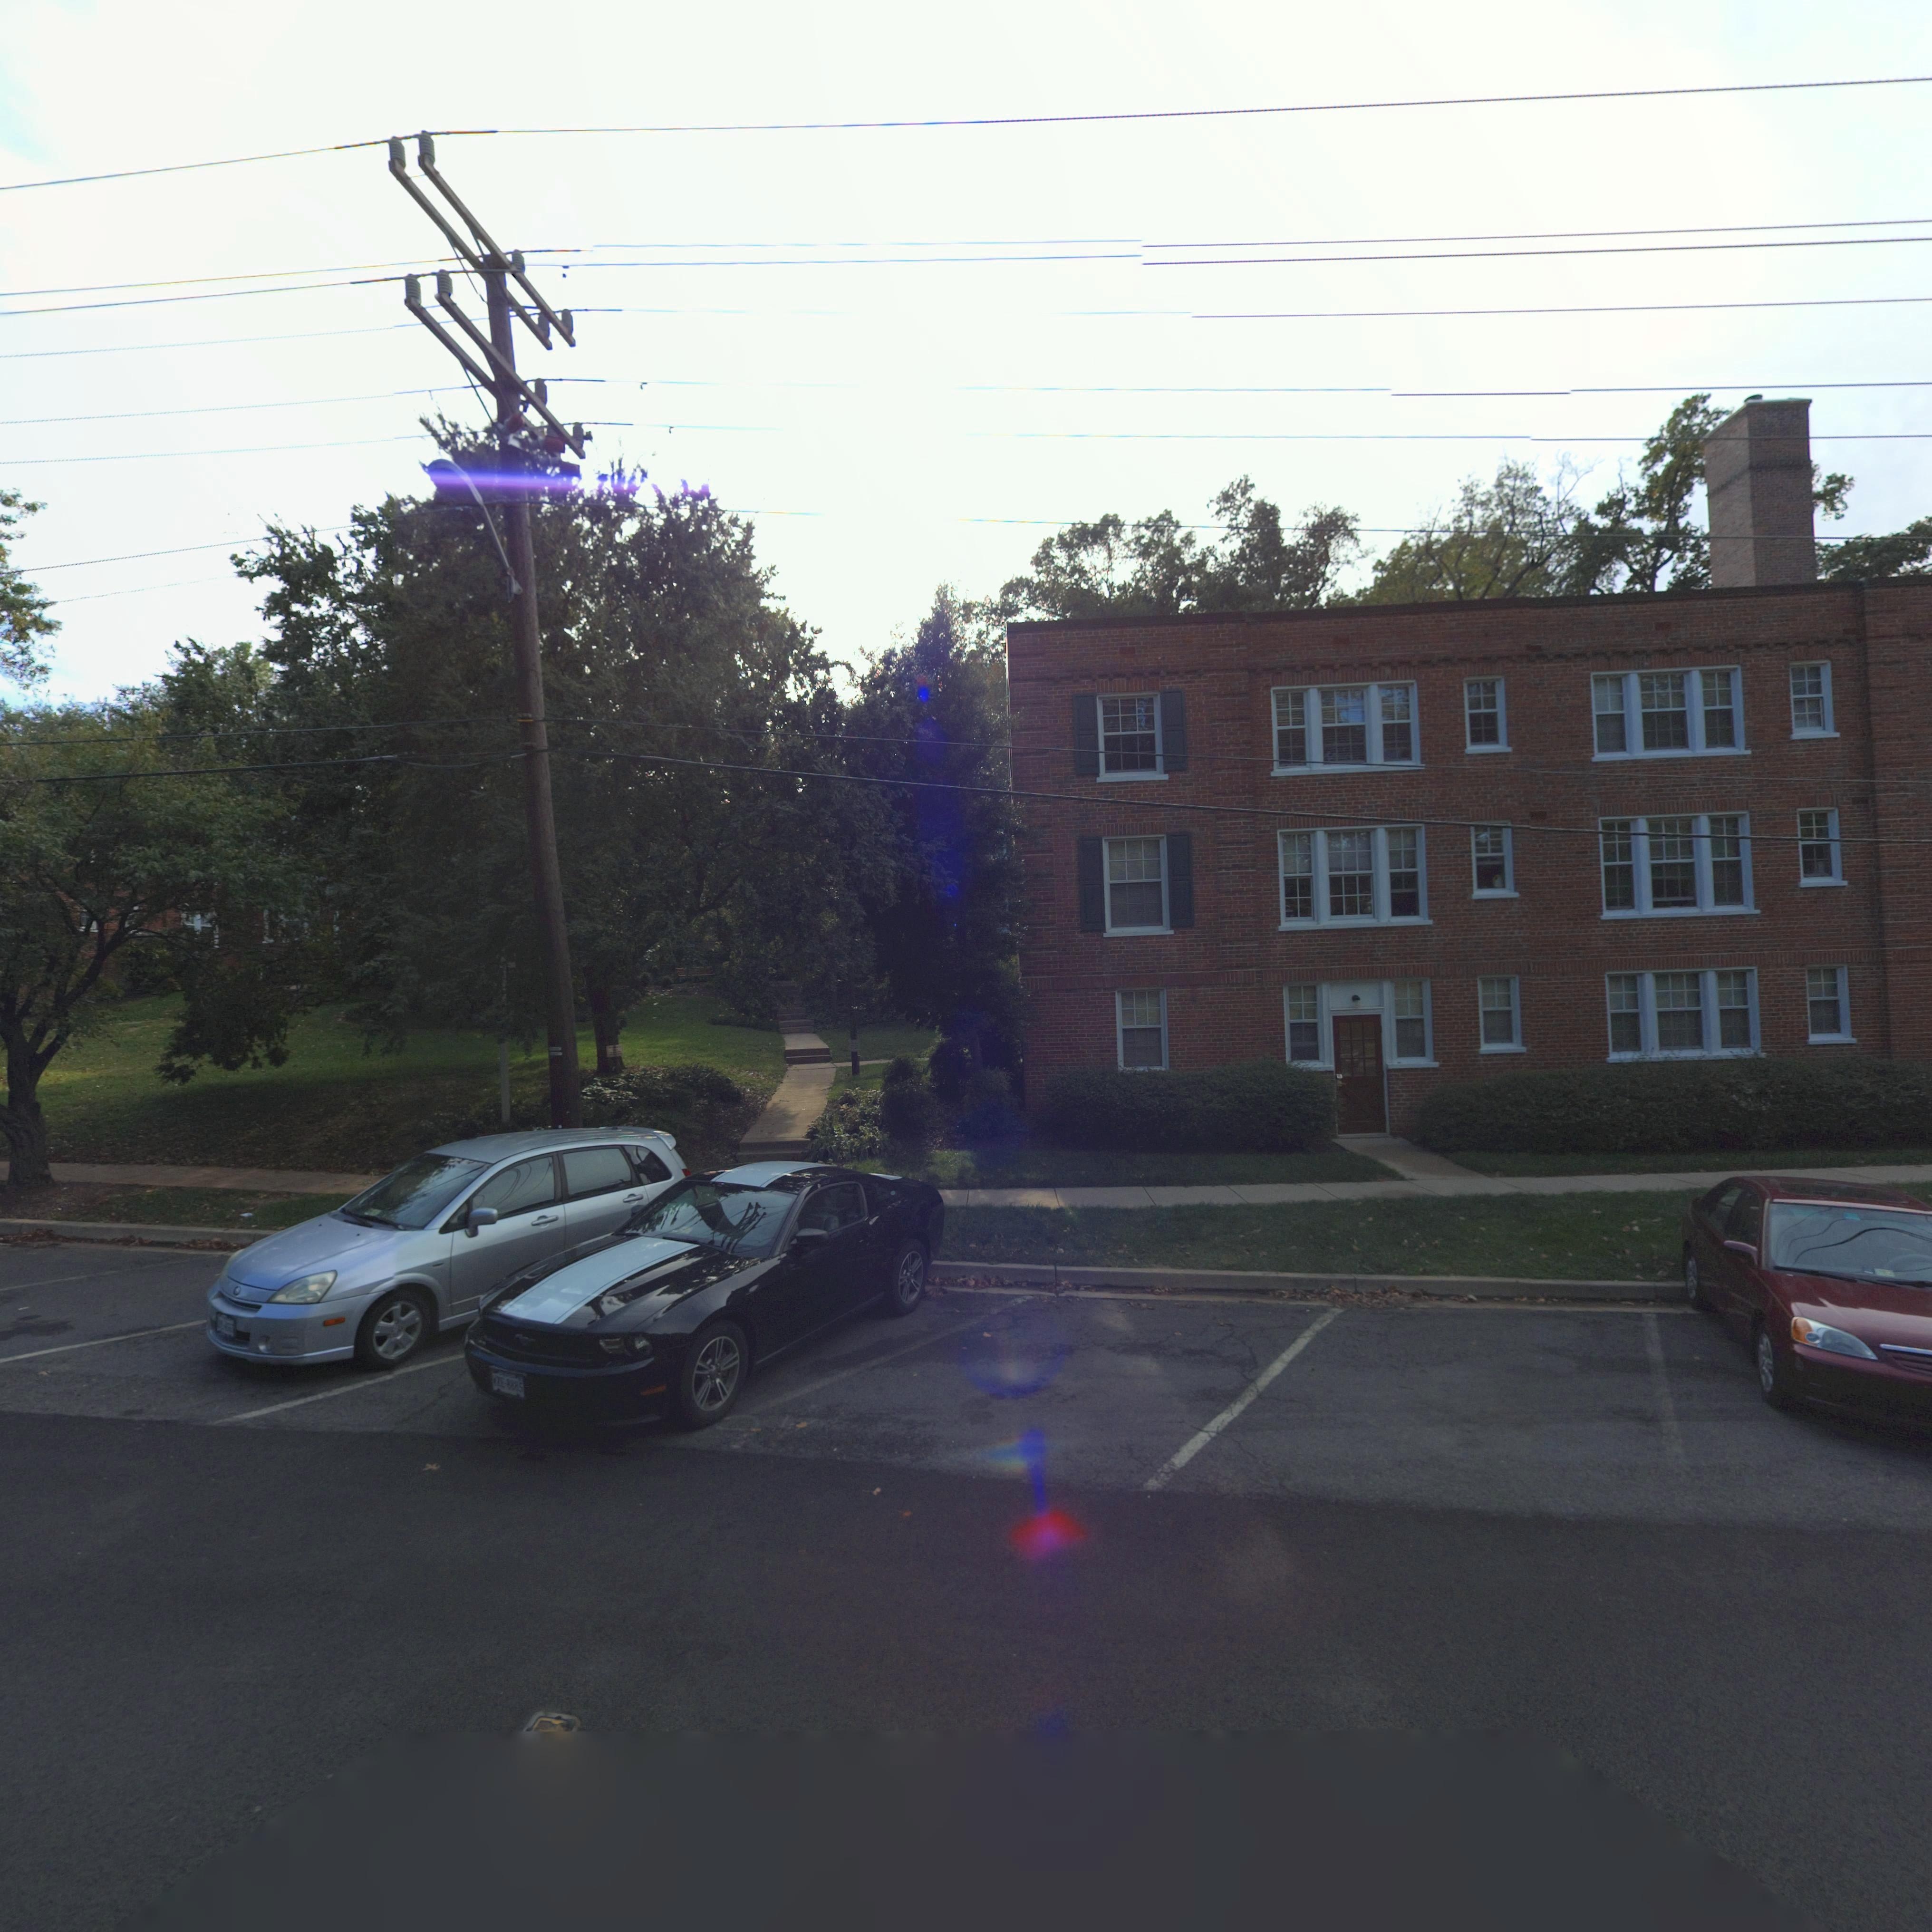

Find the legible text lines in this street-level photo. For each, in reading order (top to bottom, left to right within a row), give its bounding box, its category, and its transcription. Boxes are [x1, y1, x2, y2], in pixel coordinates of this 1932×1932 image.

[496, 1375, 523, 1394] None: ZE*8885